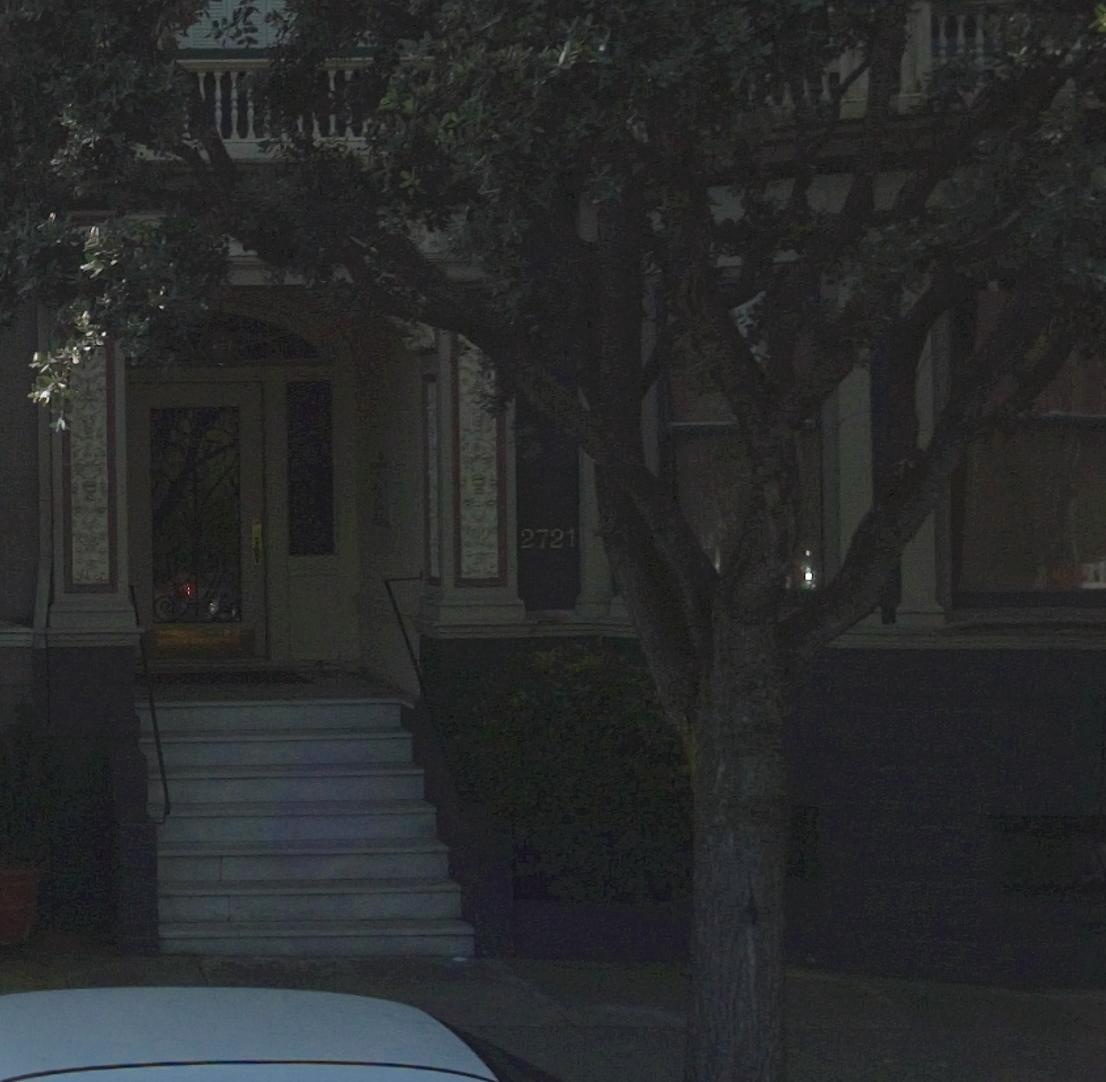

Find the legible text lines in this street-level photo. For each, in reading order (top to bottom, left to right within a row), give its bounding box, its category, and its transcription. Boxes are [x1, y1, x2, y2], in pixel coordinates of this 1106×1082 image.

[518, 525, 577, 551] StreetNumber: 2721